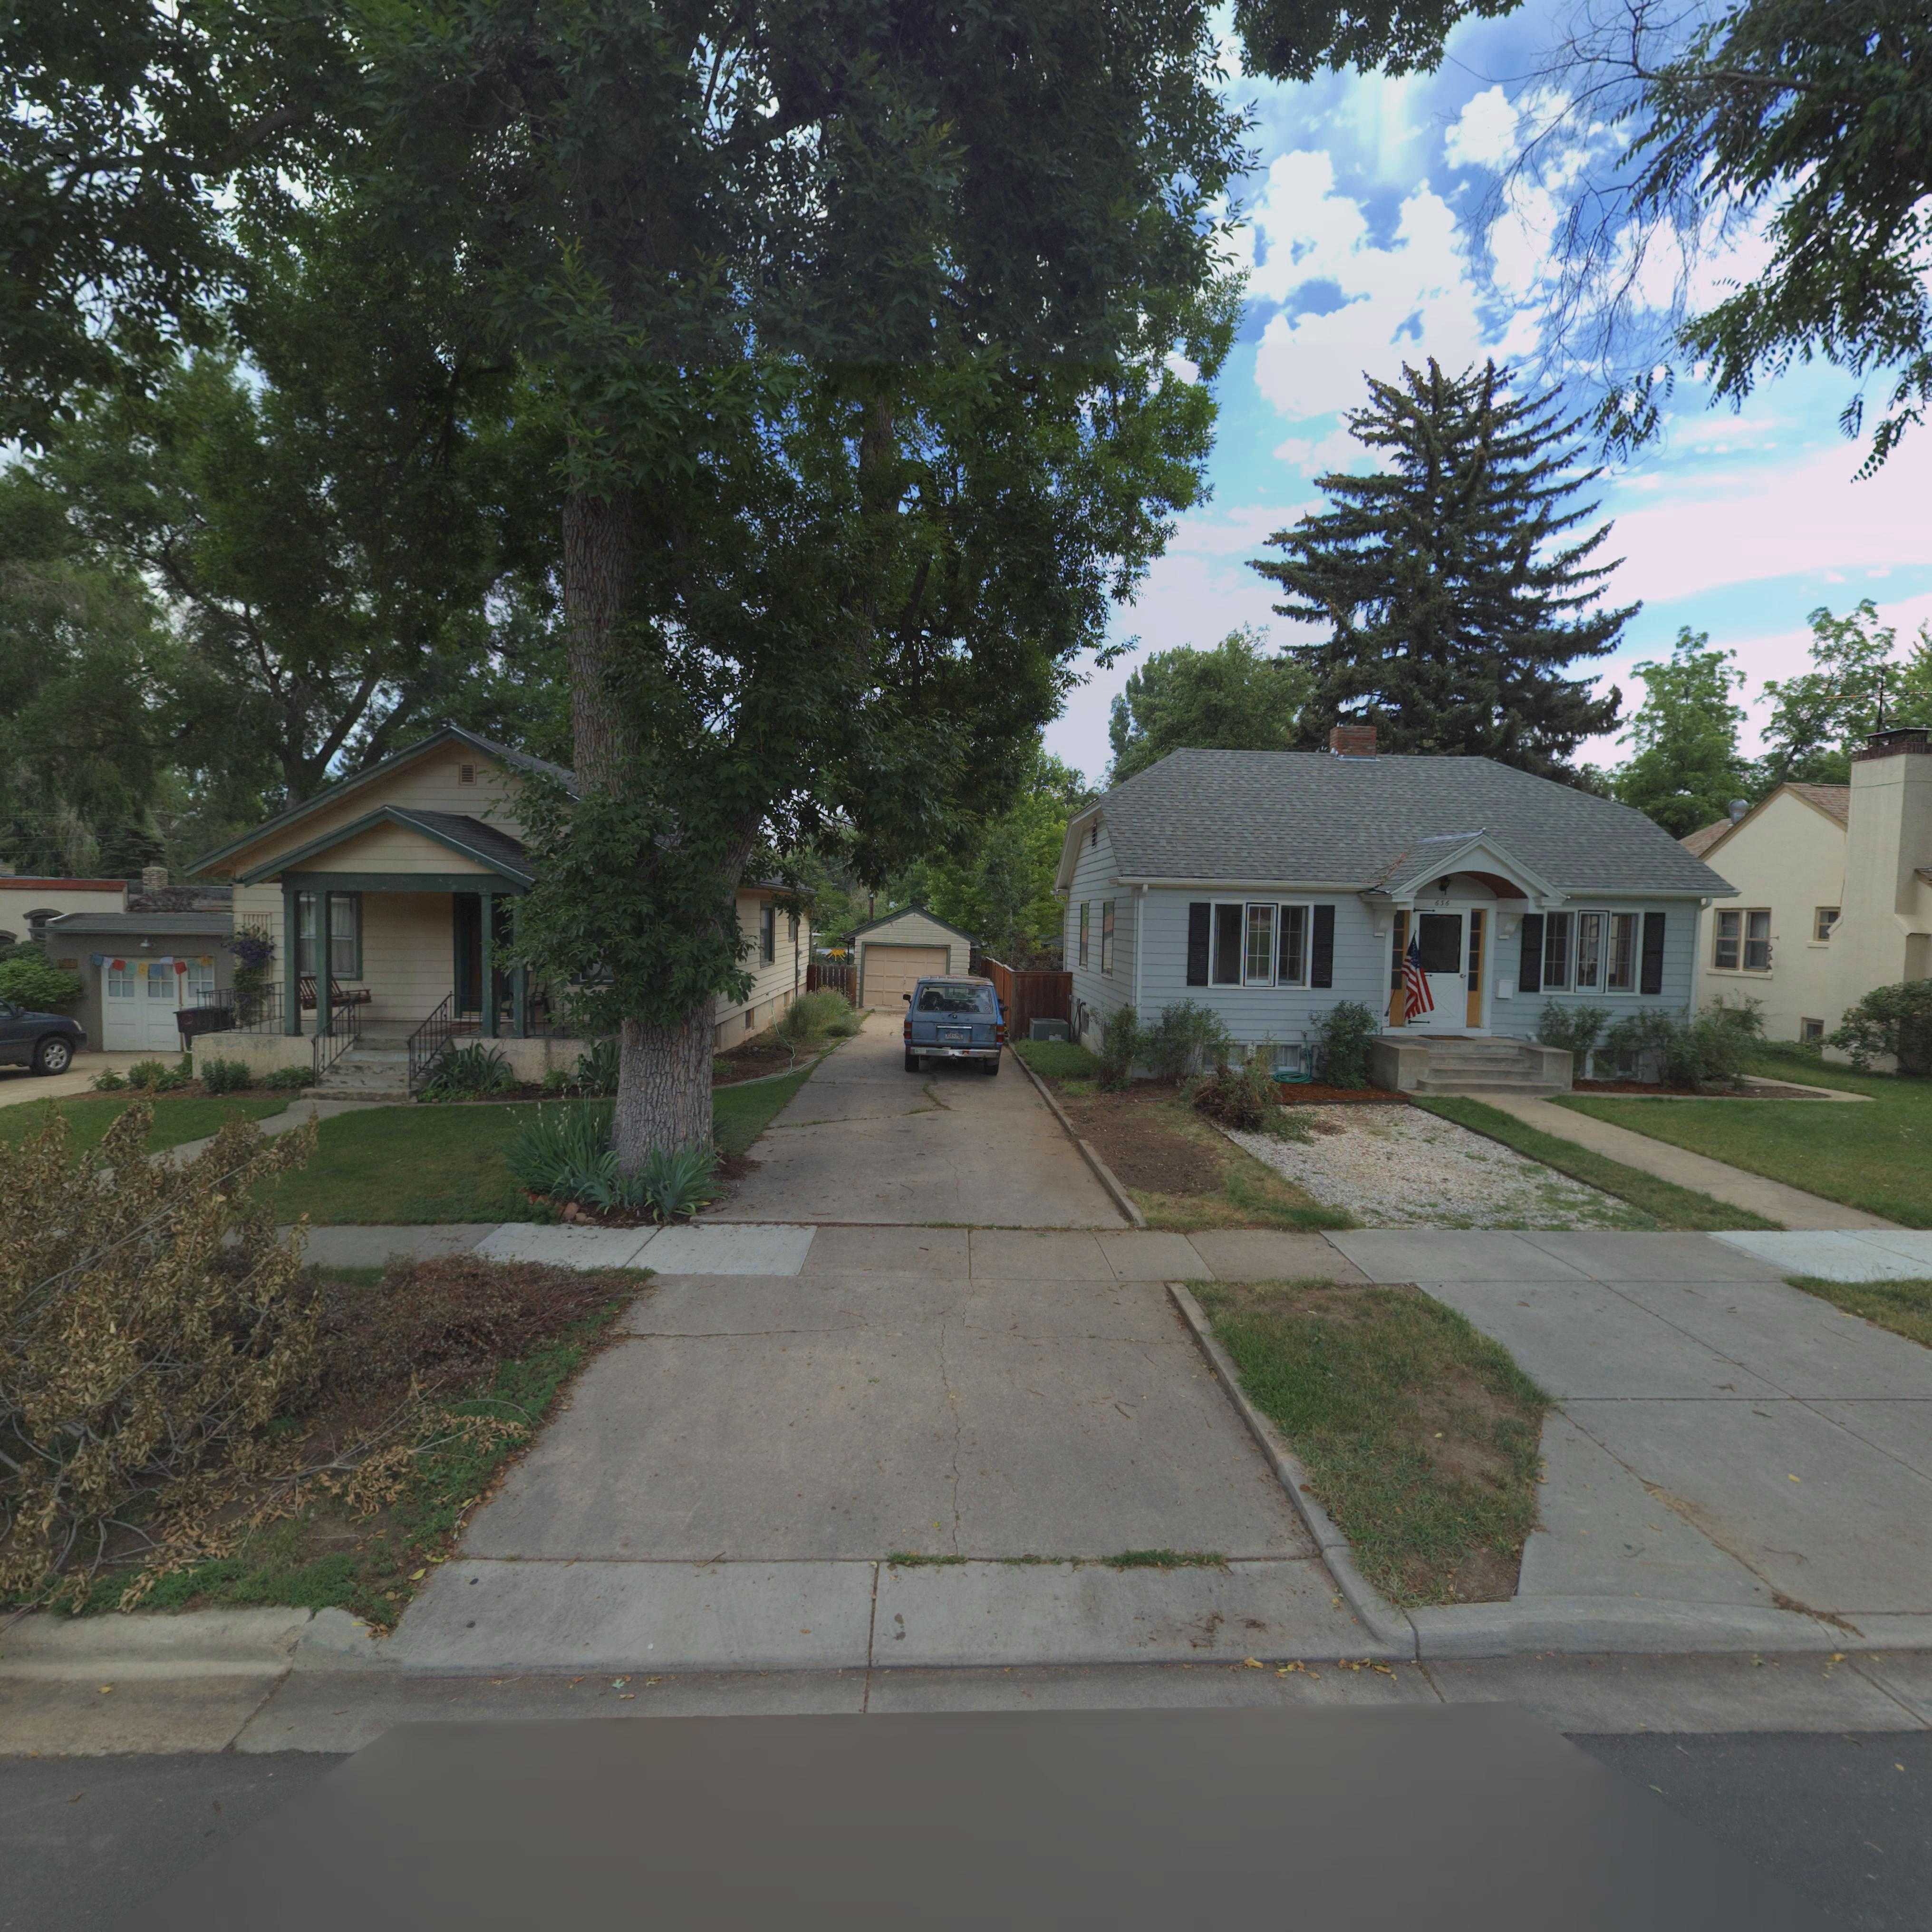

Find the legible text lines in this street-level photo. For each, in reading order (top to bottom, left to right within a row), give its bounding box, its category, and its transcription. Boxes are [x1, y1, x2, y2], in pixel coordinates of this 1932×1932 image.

[1434, 899, 1449, 906] StreetNumber: 636